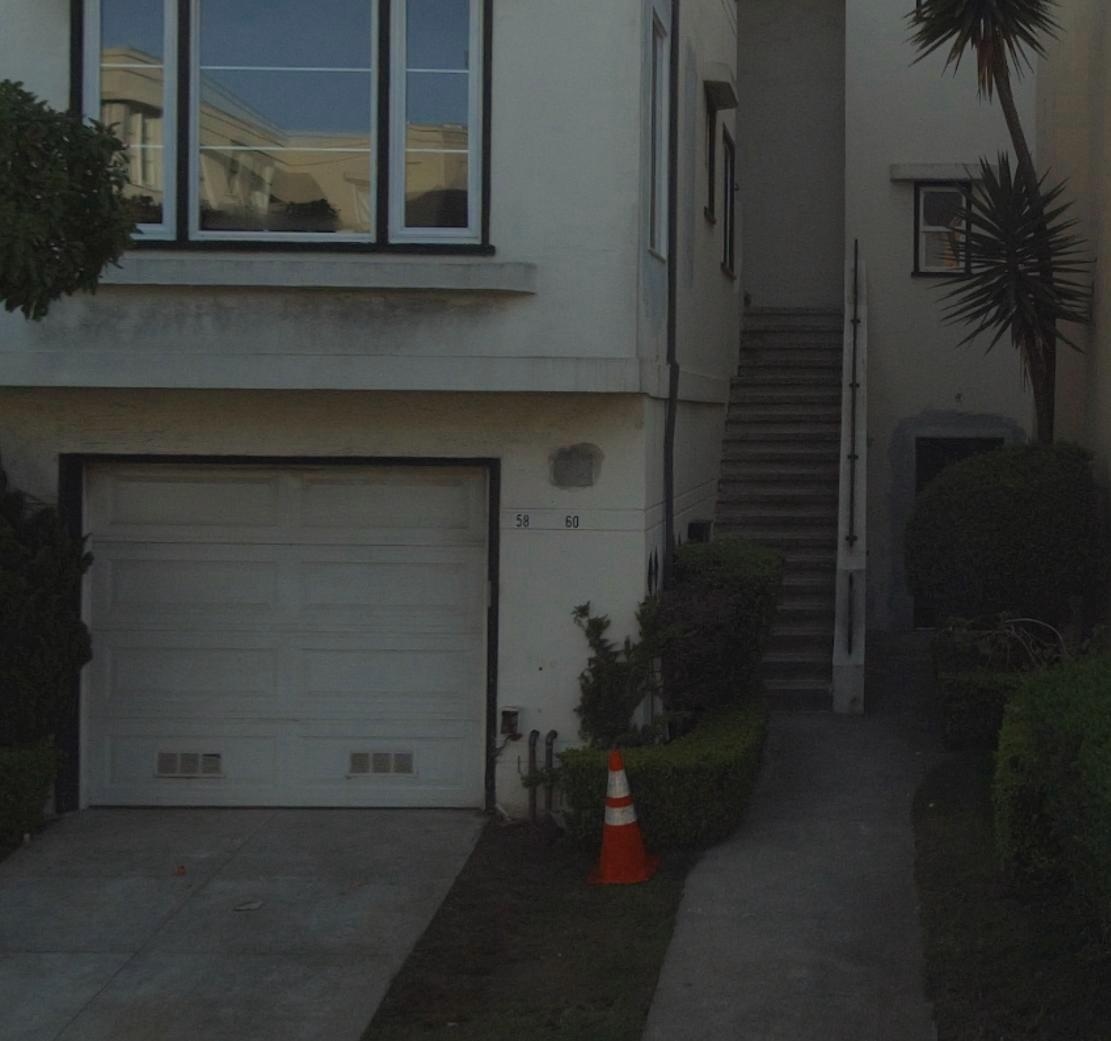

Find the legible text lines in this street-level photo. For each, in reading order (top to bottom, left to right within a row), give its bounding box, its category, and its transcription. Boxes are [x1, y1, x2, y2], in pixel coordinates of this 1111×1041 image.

[514, 512, 531, 530] StreetNumber: 58
[563, 513, 581, 530] StreetNumber: 60